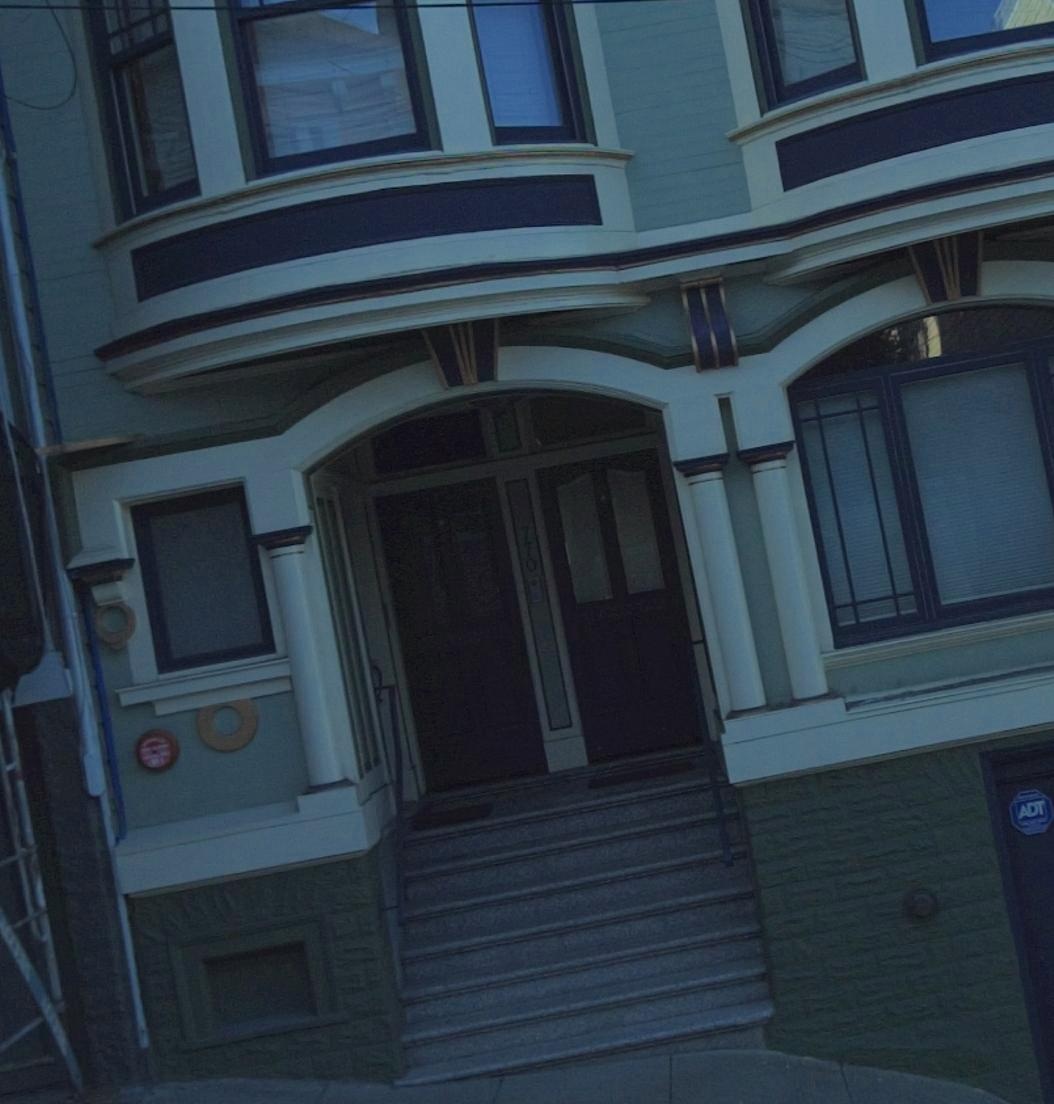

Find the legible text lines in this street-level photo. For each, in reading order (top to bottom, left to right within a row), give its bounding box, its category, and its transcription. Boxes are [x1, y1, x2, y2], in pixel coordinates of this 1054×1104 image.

[517, 523, 540, 575] StreetNumber: 770
[1017, 798, 1046, 820] None: ADT